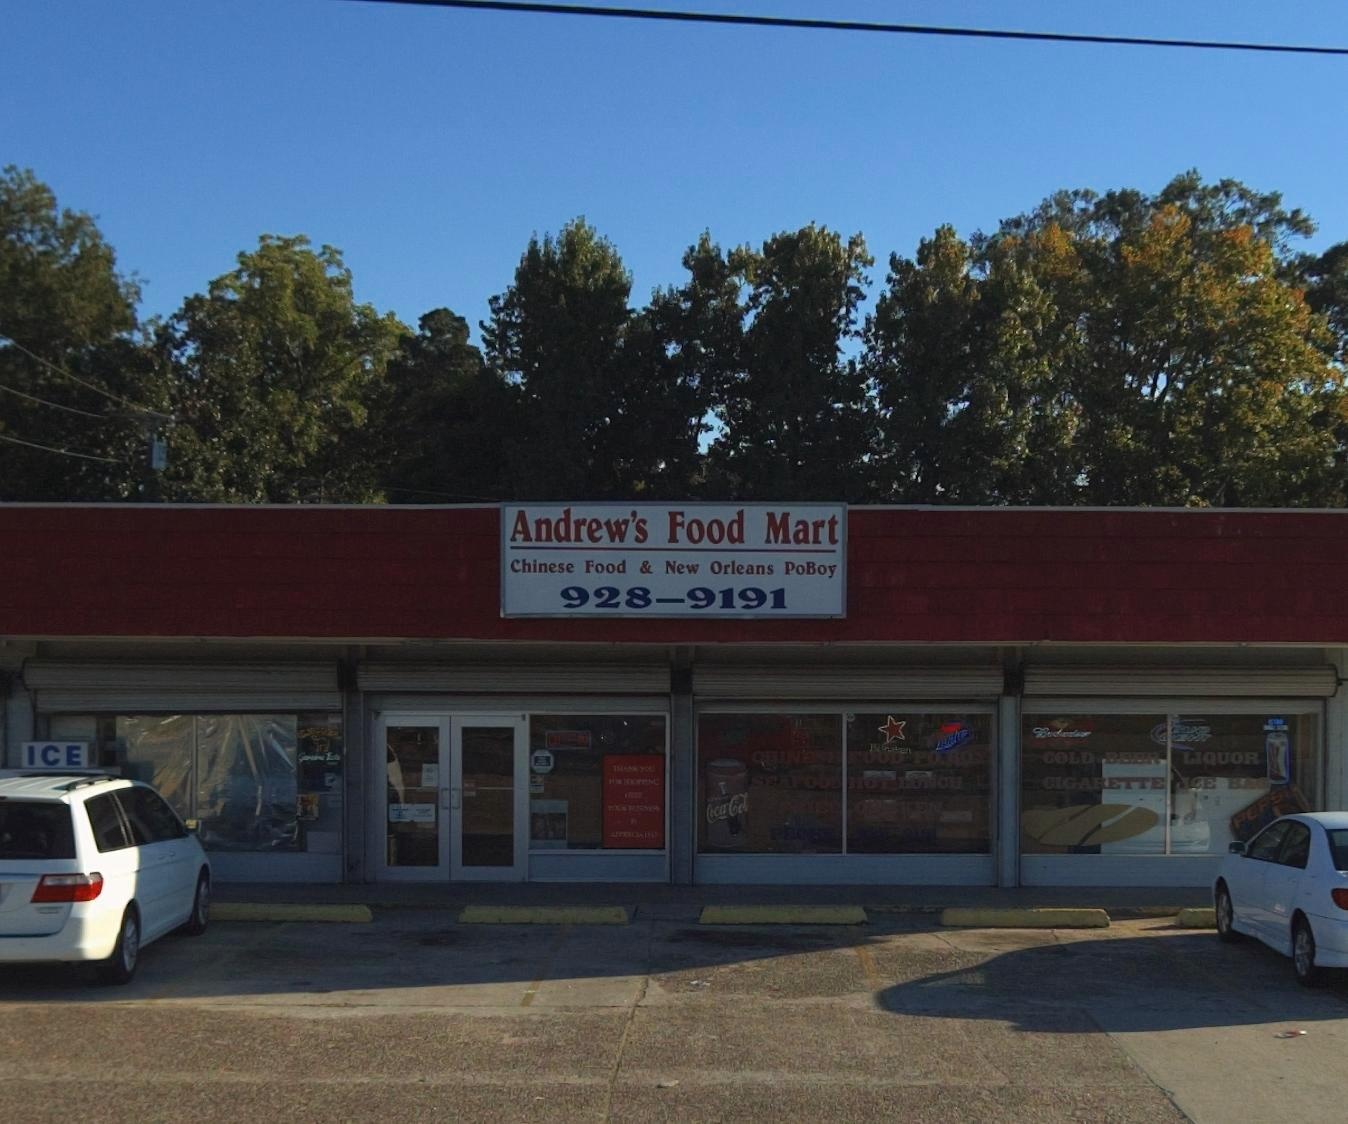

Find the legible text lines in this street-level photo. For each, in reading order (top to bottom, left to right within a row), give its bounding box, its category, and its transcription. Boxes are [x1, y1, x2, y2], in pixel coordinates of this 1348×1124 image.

[509, 506, 839, 545] BusinessName: Andrew's Food Mart
[509, 557, 838, 579] BusinessName: Chinese Food & New Orleans PoBoy
[560, 585, 788, 609] None: 928-9191
[546, 732, 590, 747] None: OP*N
[1031, 725, 1094, 740] None: Bud******
[26, 744, 83, 767] None: ICE
[749, 749, 989, 767] None: CHIN*** FOOD PO BOY
[1041, 750, 1162, 766] None: COLD BEER
[1182, 750, 1261, 768] None: LIQUOR
[748, 774, 965, 791] None: SEAFOOD HOT LUNCH
[1042, 776, 1167, 791] None: CIGARETTE
[1180, 775, 1272, 791] None: ICE BAG
[704, 789, 750, 827] None: Coca-Col
[1229, 780, 1295, 835] None: PEPSI
[769, 825, 841, 843] None: PHONE